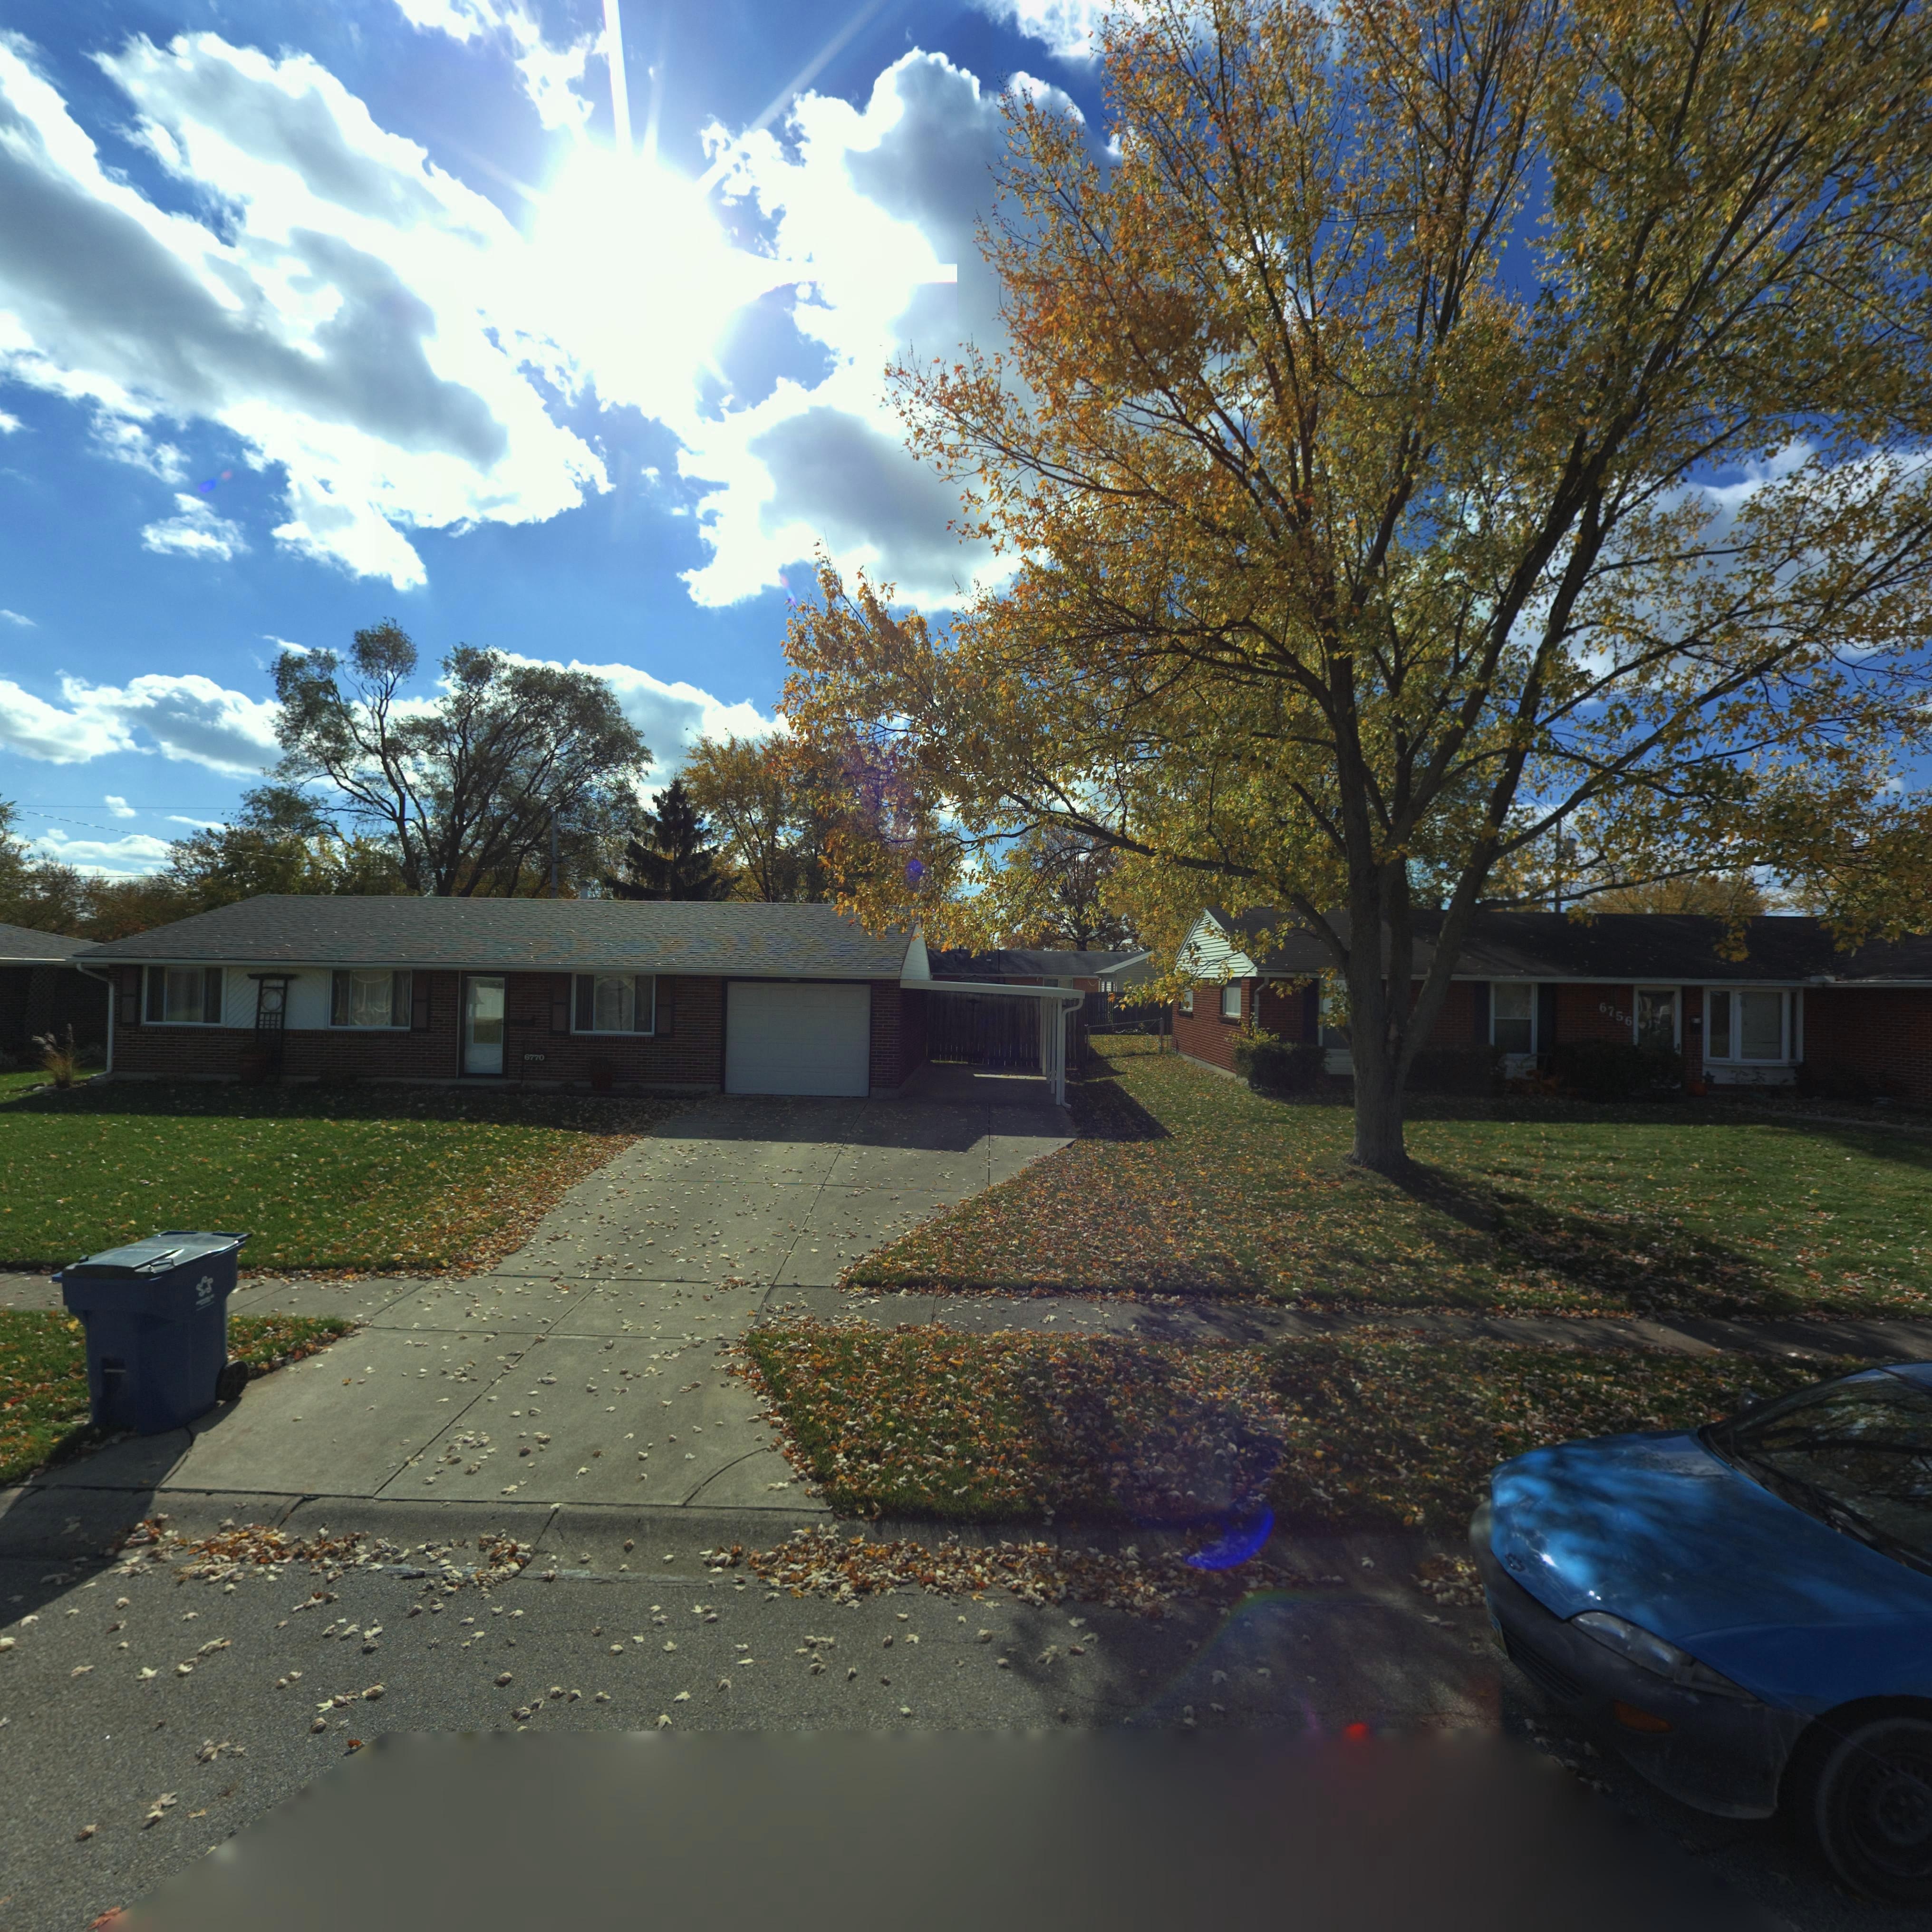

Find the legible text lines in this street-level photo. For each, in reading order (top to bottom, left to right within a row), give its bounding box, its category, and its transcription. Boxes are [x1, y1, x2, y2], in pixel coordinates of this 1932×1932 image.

[1598, 1001, 1633, 1027] StreetNumber: 6756
[524, 1053, 545, 1062] StreetNumber: 6770